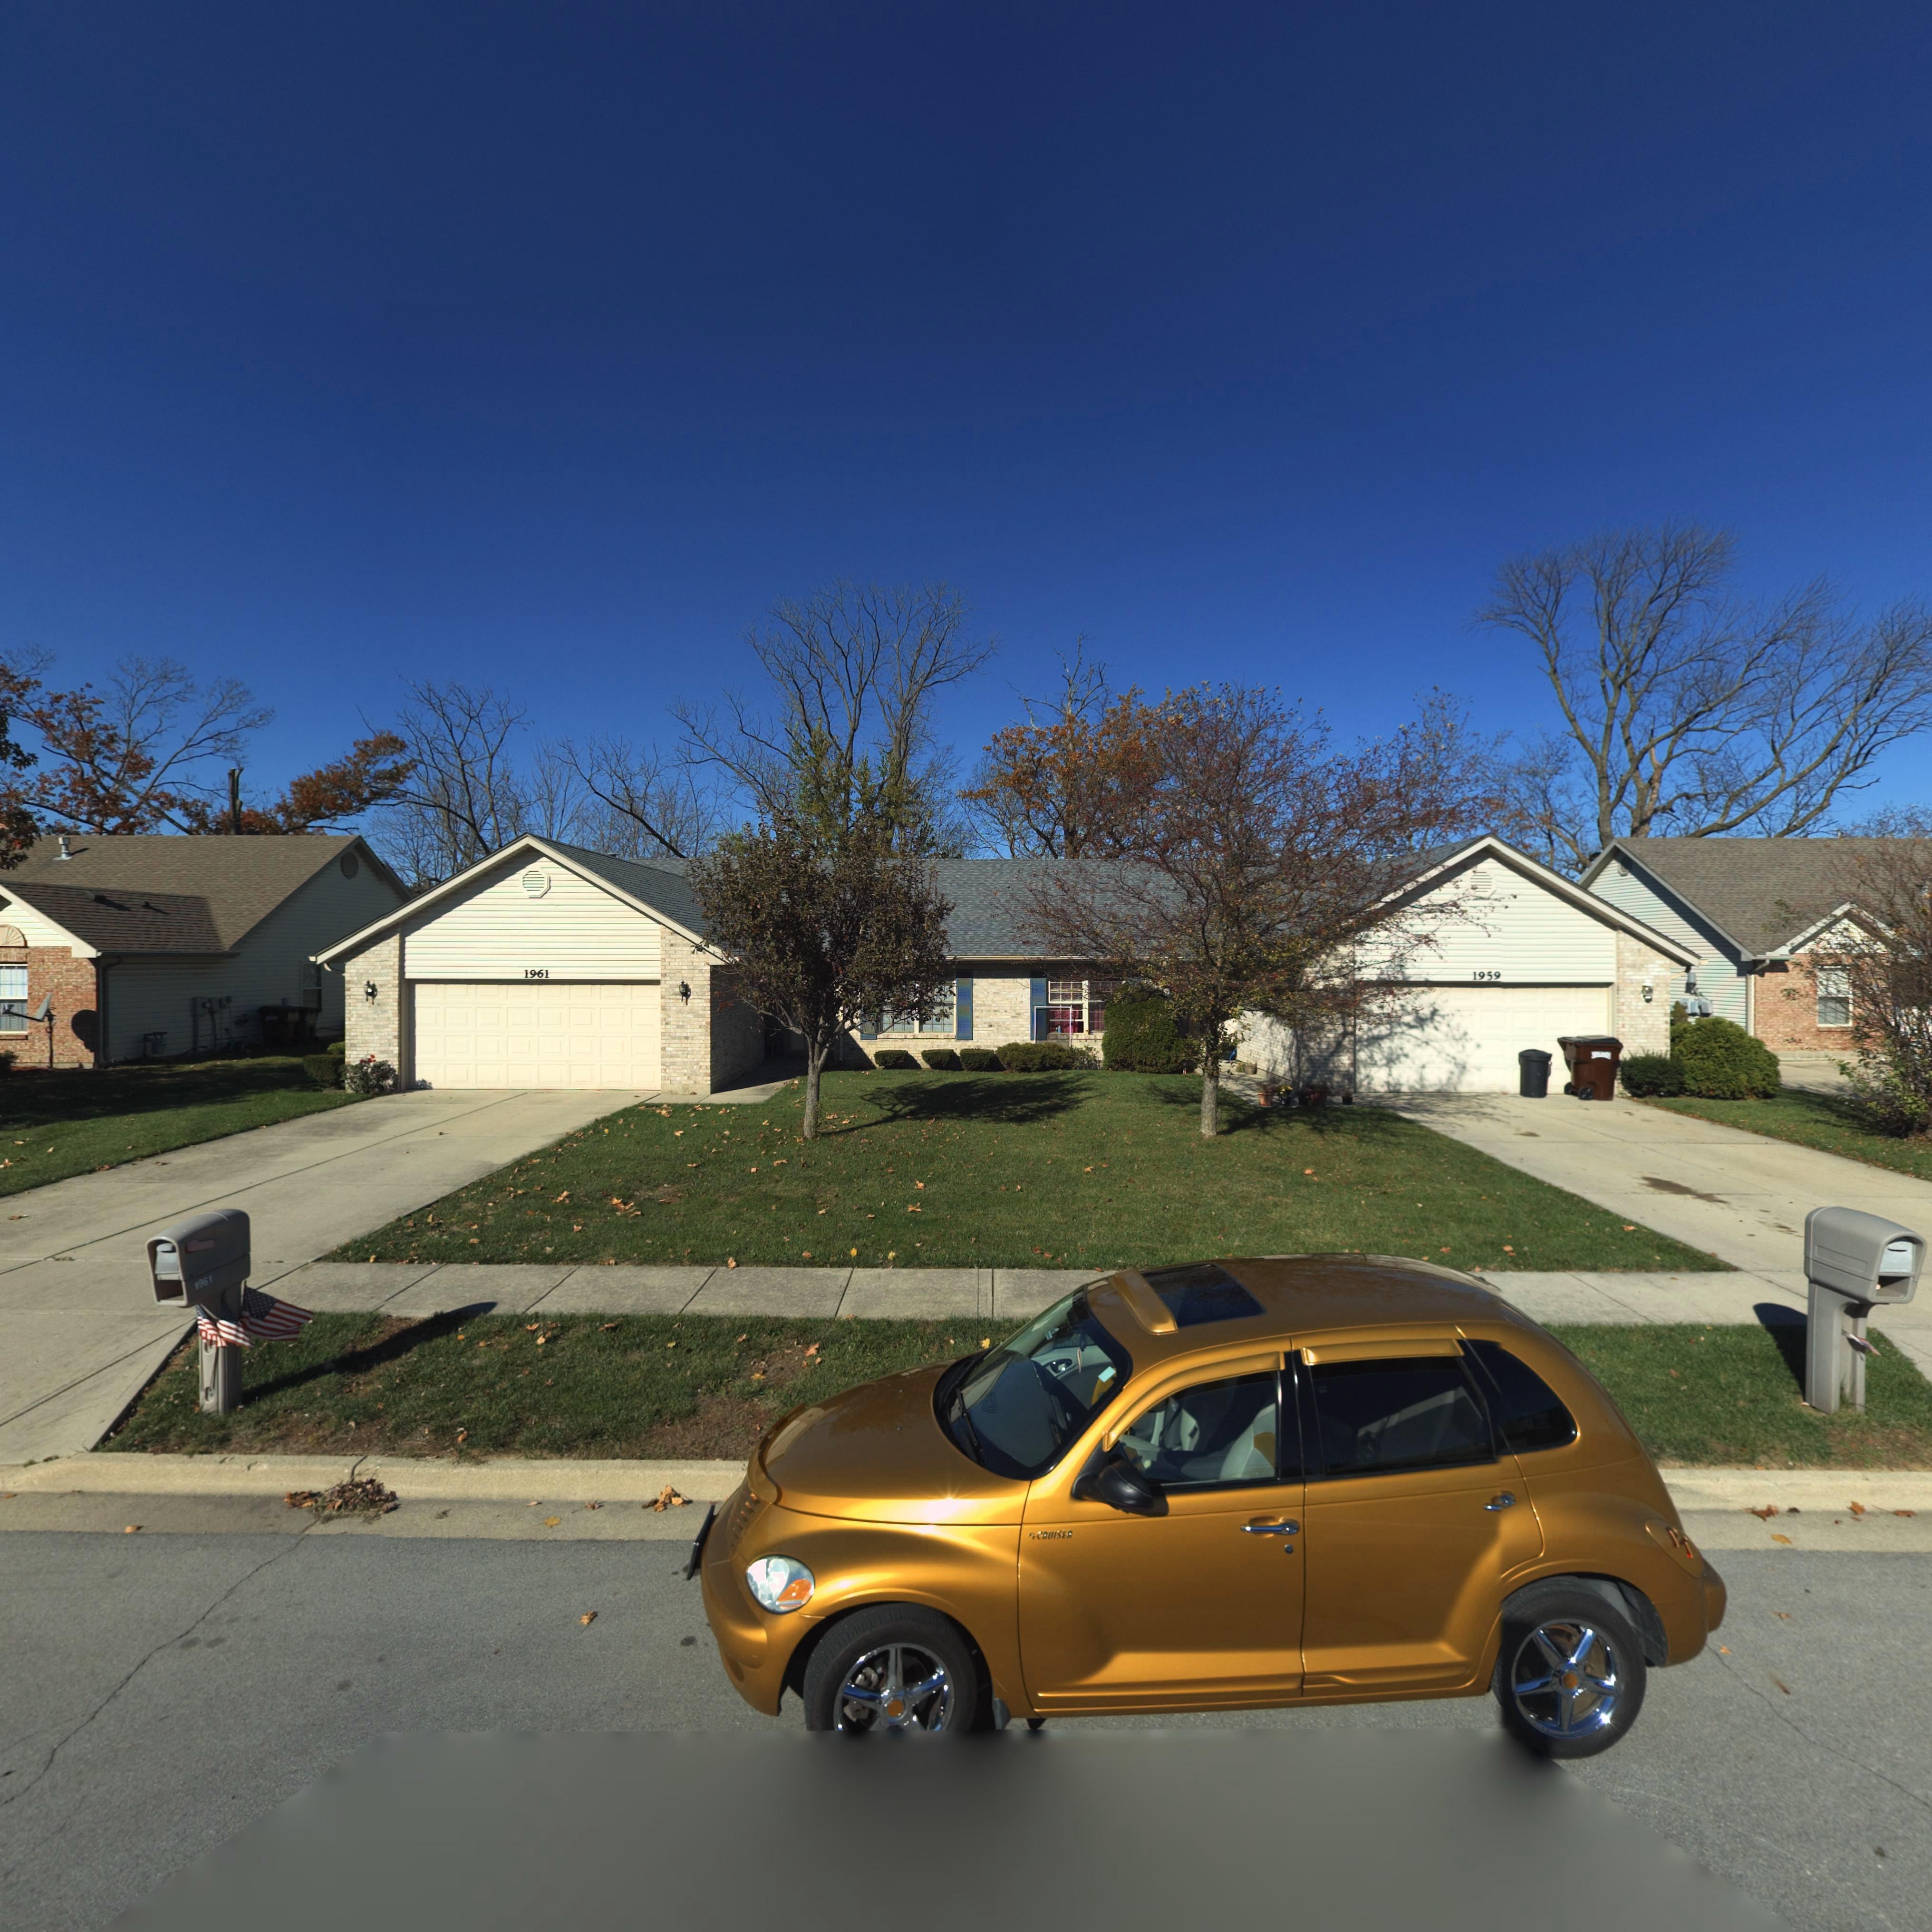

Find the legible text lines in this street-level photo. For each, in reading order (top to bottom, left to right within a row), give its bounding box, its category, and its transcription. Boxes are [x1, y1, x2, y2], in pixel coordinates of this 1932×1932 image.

[523, 968, 551, 979] StreetNumber: 1961
[1472, 970, 1502, 981] StreetNumber: 1959
[193, 1274, 214, 1293] StreetNumber: 1961